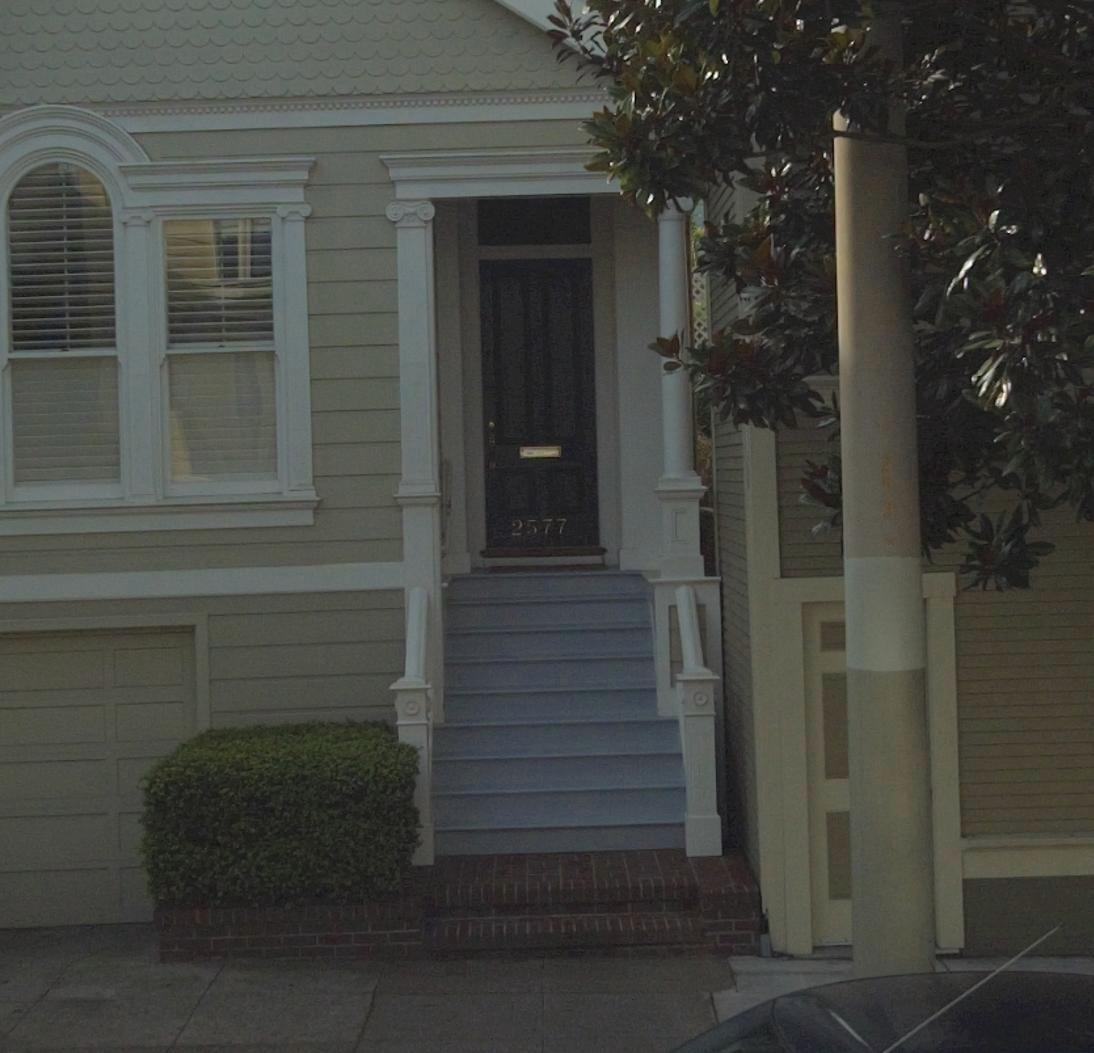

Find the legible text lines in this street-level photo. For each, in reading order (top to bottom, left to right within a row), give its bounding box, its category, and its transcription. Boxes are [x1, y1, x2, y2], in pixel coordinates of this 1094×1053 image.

[510, 515, 569, 538] StreetNumber: 2577